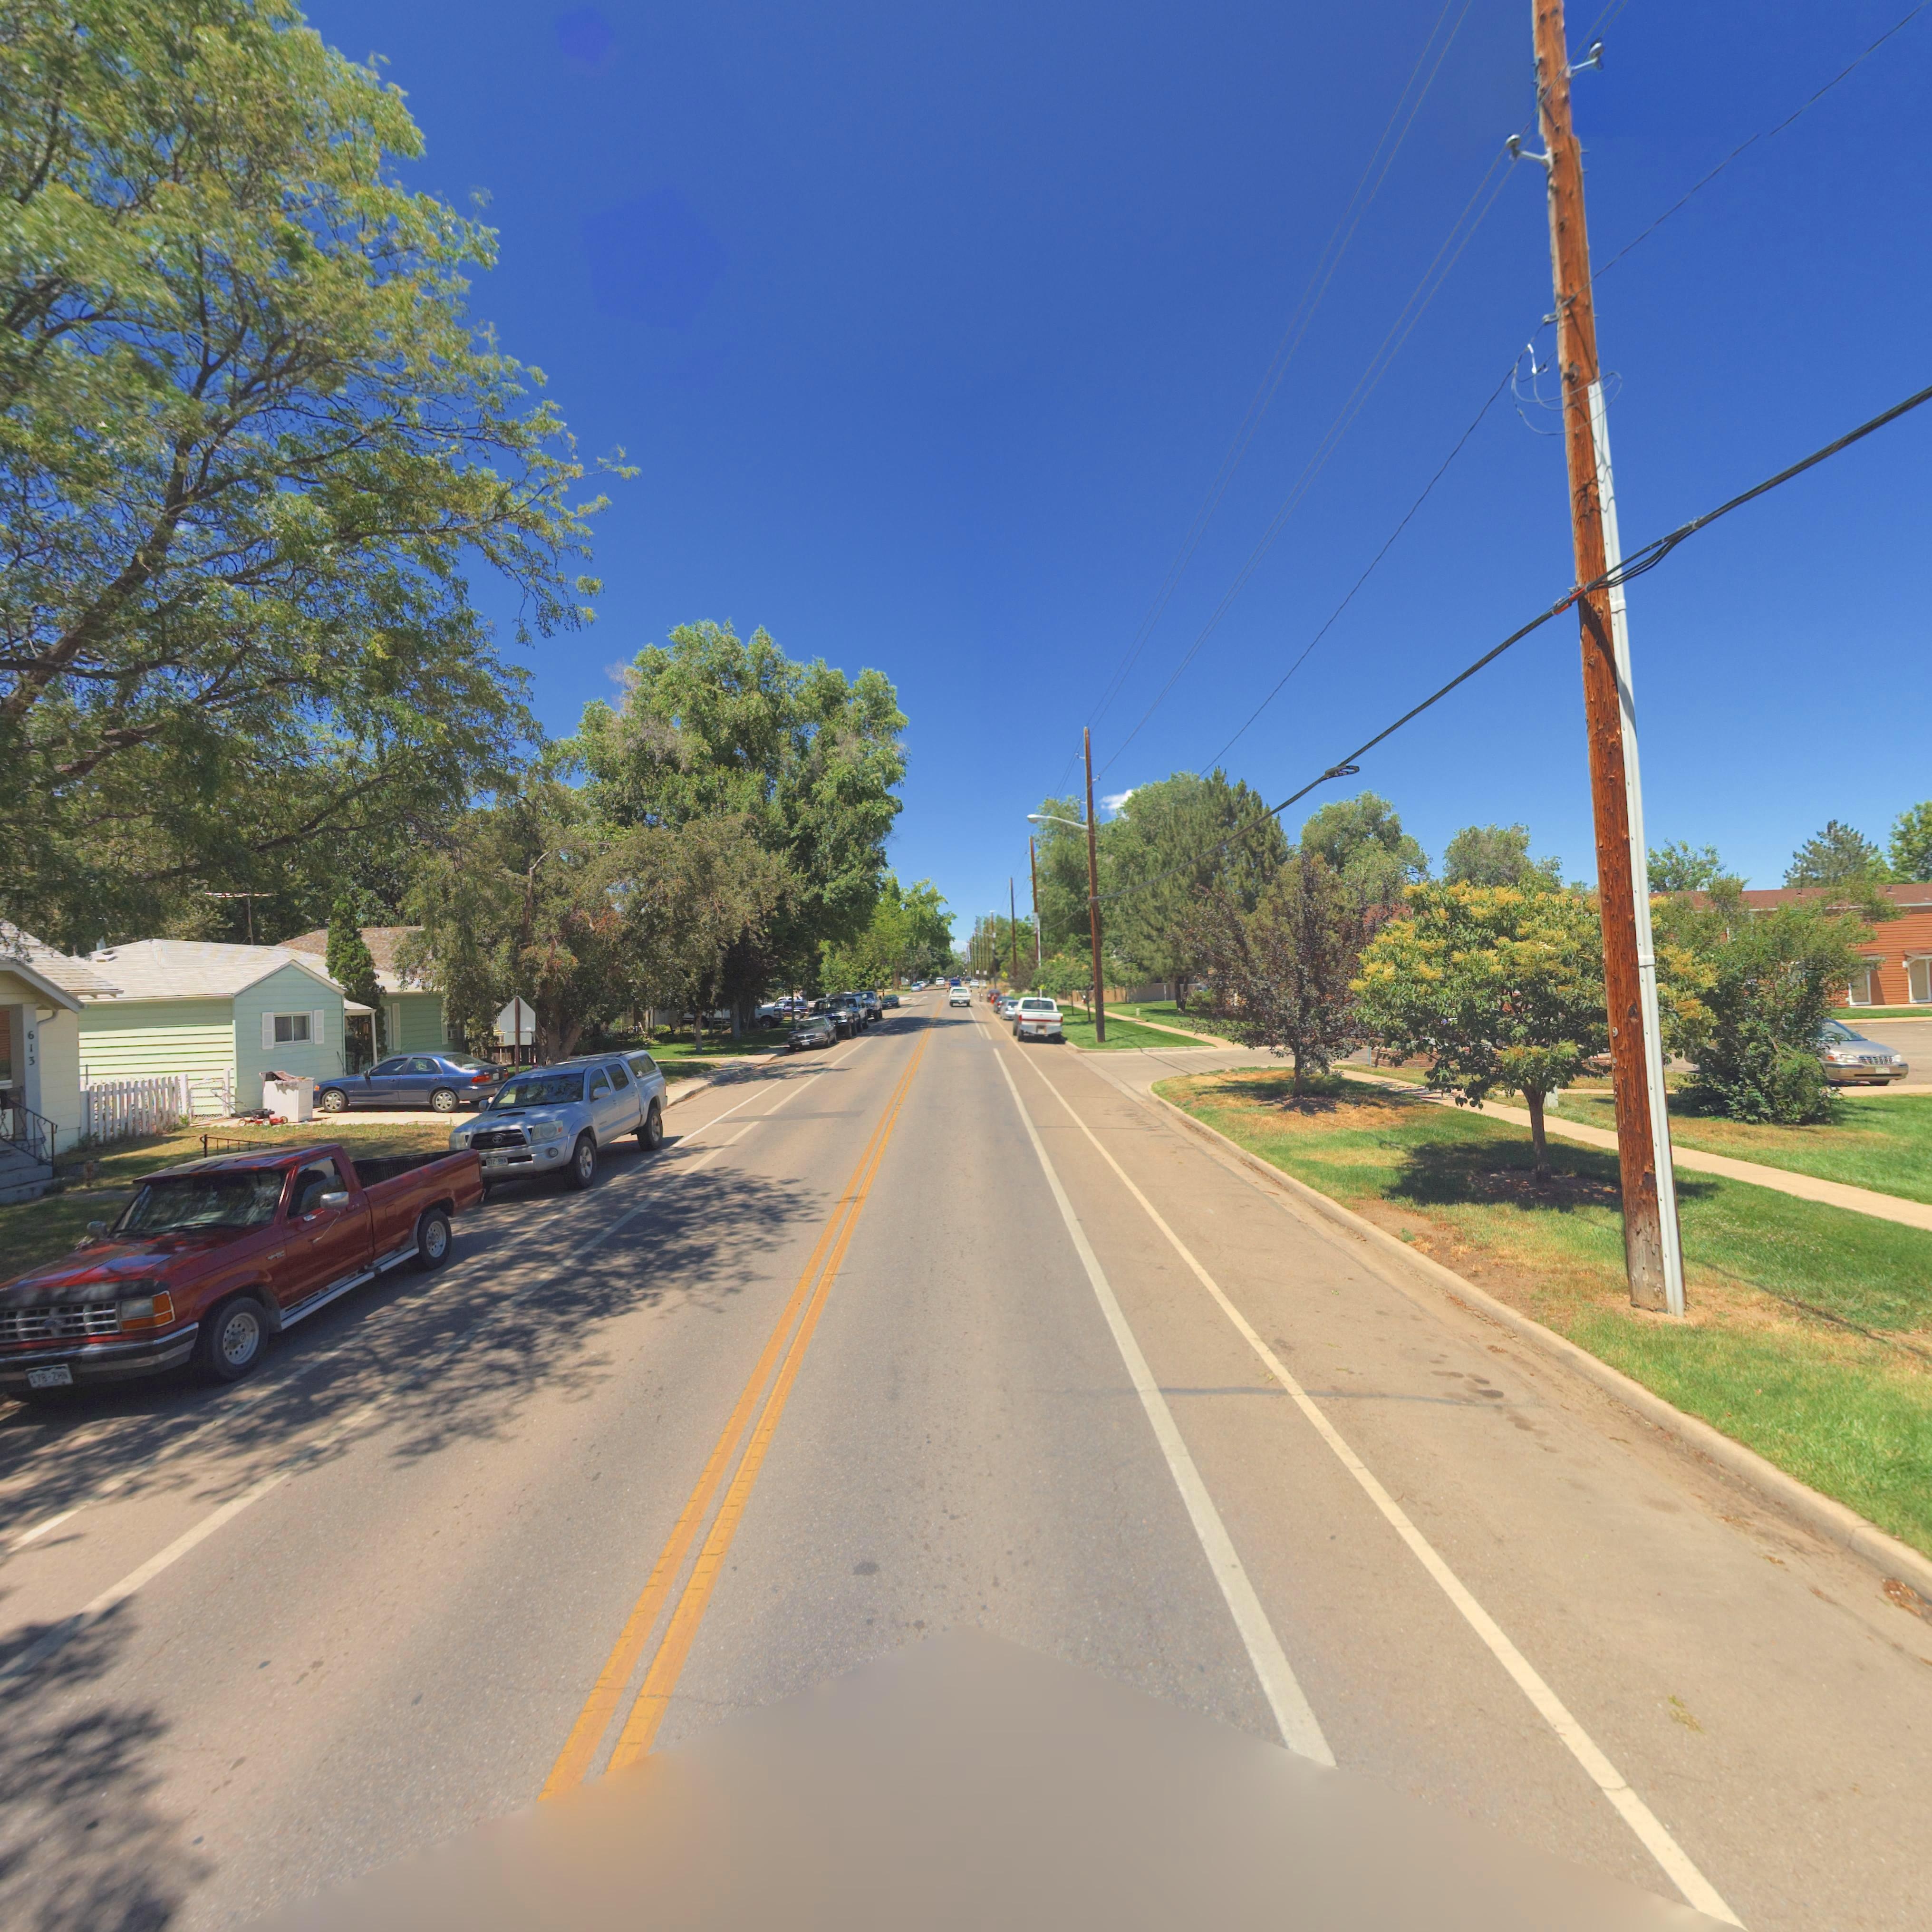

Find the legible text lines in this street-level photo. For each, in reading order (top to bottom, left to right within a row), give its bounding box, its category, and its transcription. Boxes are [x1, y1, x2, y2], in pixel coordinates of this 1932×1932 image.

[27, 1029, 35, 1066] StreetNumber: 613